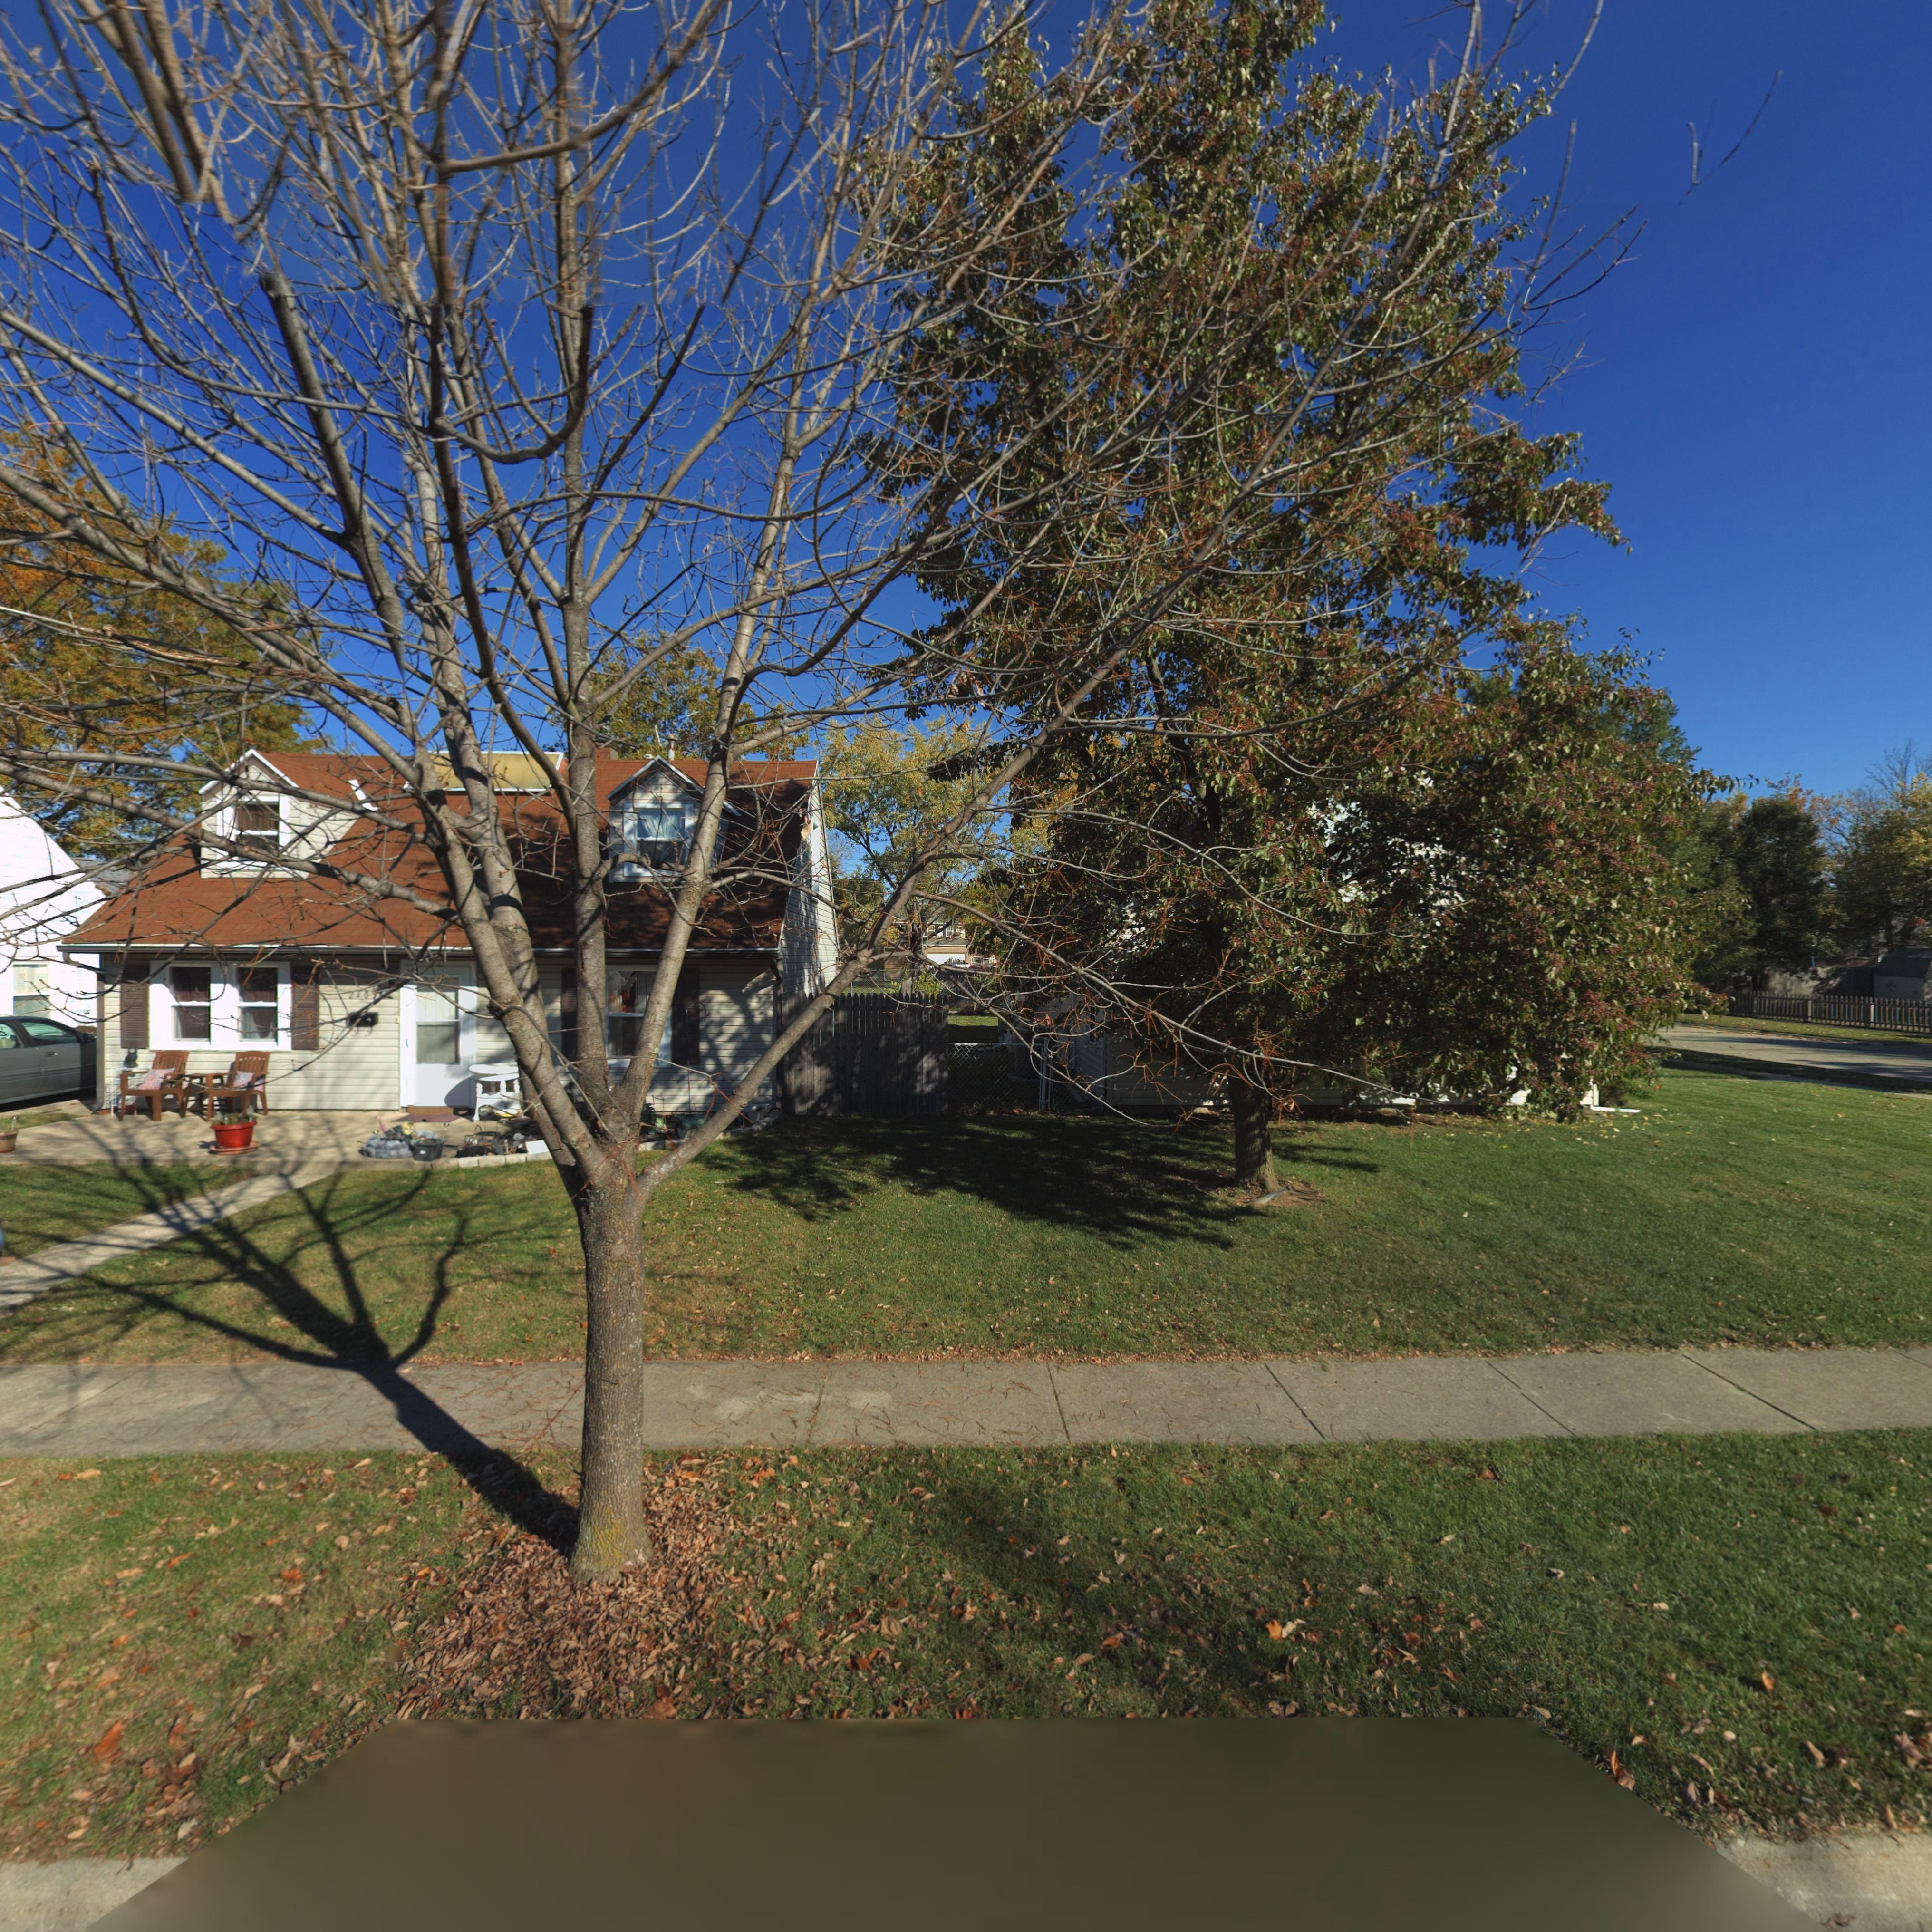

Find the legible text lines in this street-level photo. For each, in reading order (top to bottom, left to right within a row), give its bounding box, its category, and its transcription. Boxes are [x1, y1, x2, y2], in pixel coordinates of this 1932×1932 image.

[346, 989, 370, 1001] StreetNumber: **0